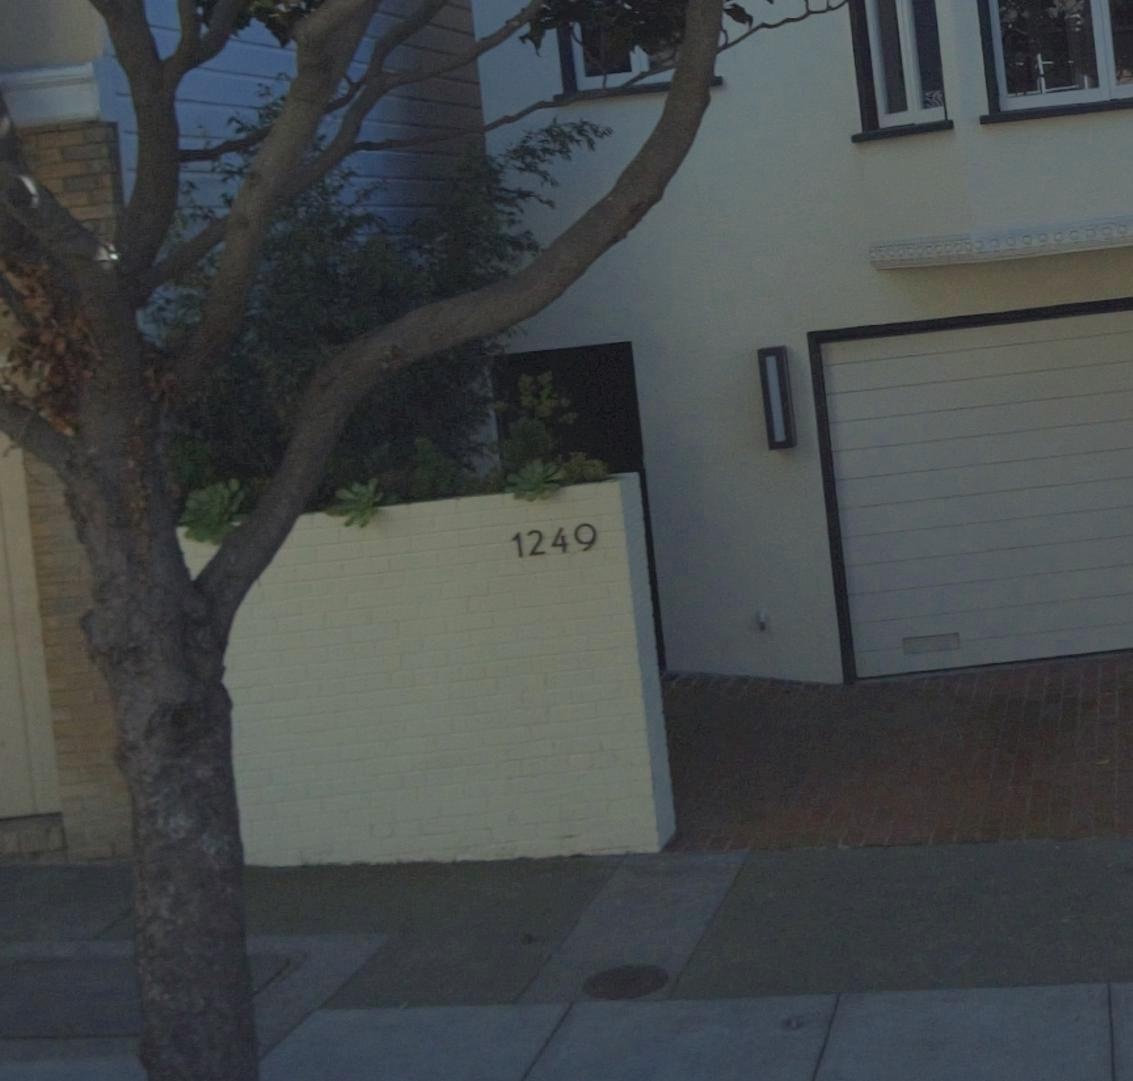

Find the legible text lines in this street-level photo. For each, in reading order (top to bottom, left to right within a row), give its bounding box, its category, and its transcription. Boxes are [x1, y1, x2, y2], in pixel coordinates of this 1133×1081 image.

[507, 519, 603, 561] StreetNumber: 1249